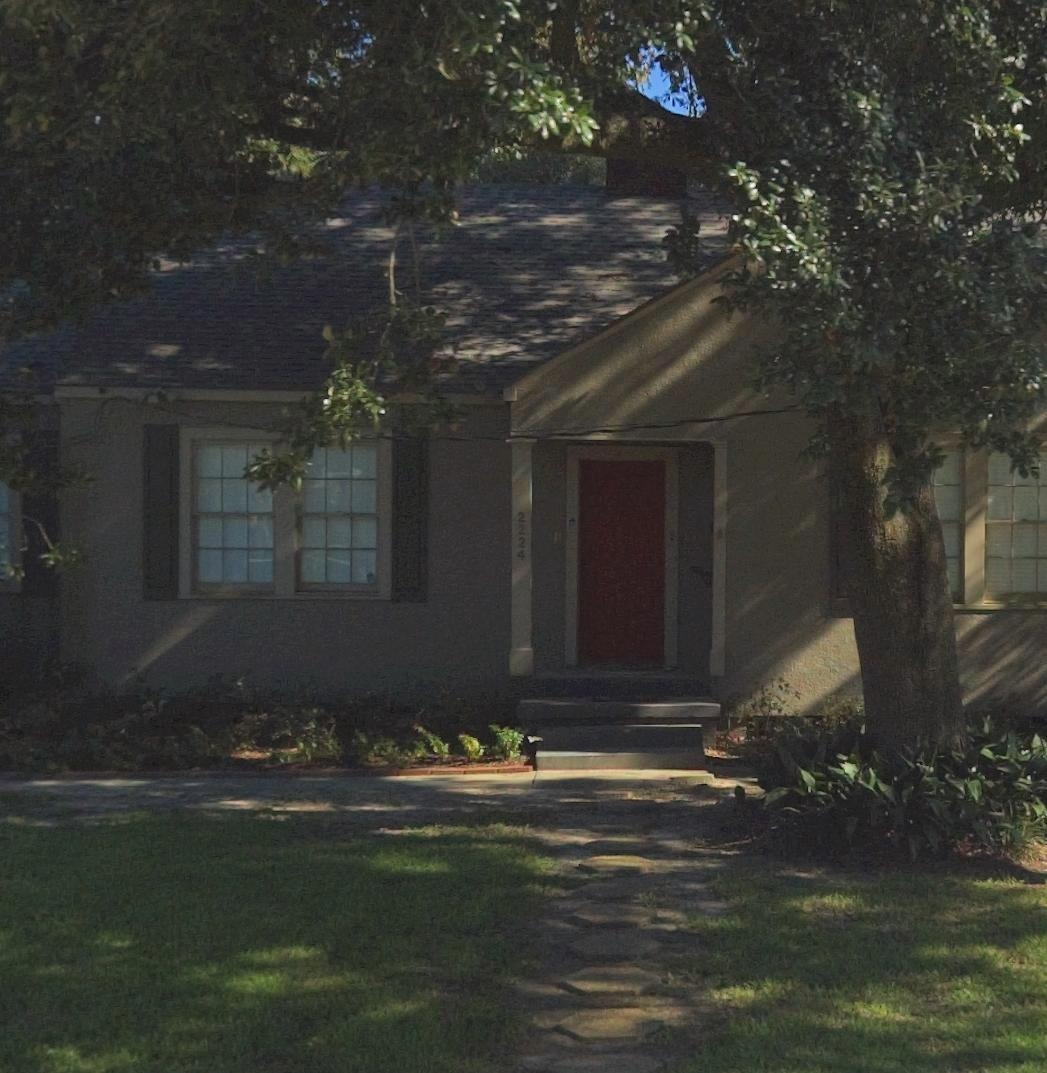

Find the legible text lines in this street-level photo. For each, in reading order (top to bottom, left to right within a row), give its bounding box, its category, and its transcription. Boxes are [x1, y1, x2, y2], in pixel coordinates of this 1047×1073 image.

[516, 510, 528, 562] StreetNumber: 2224